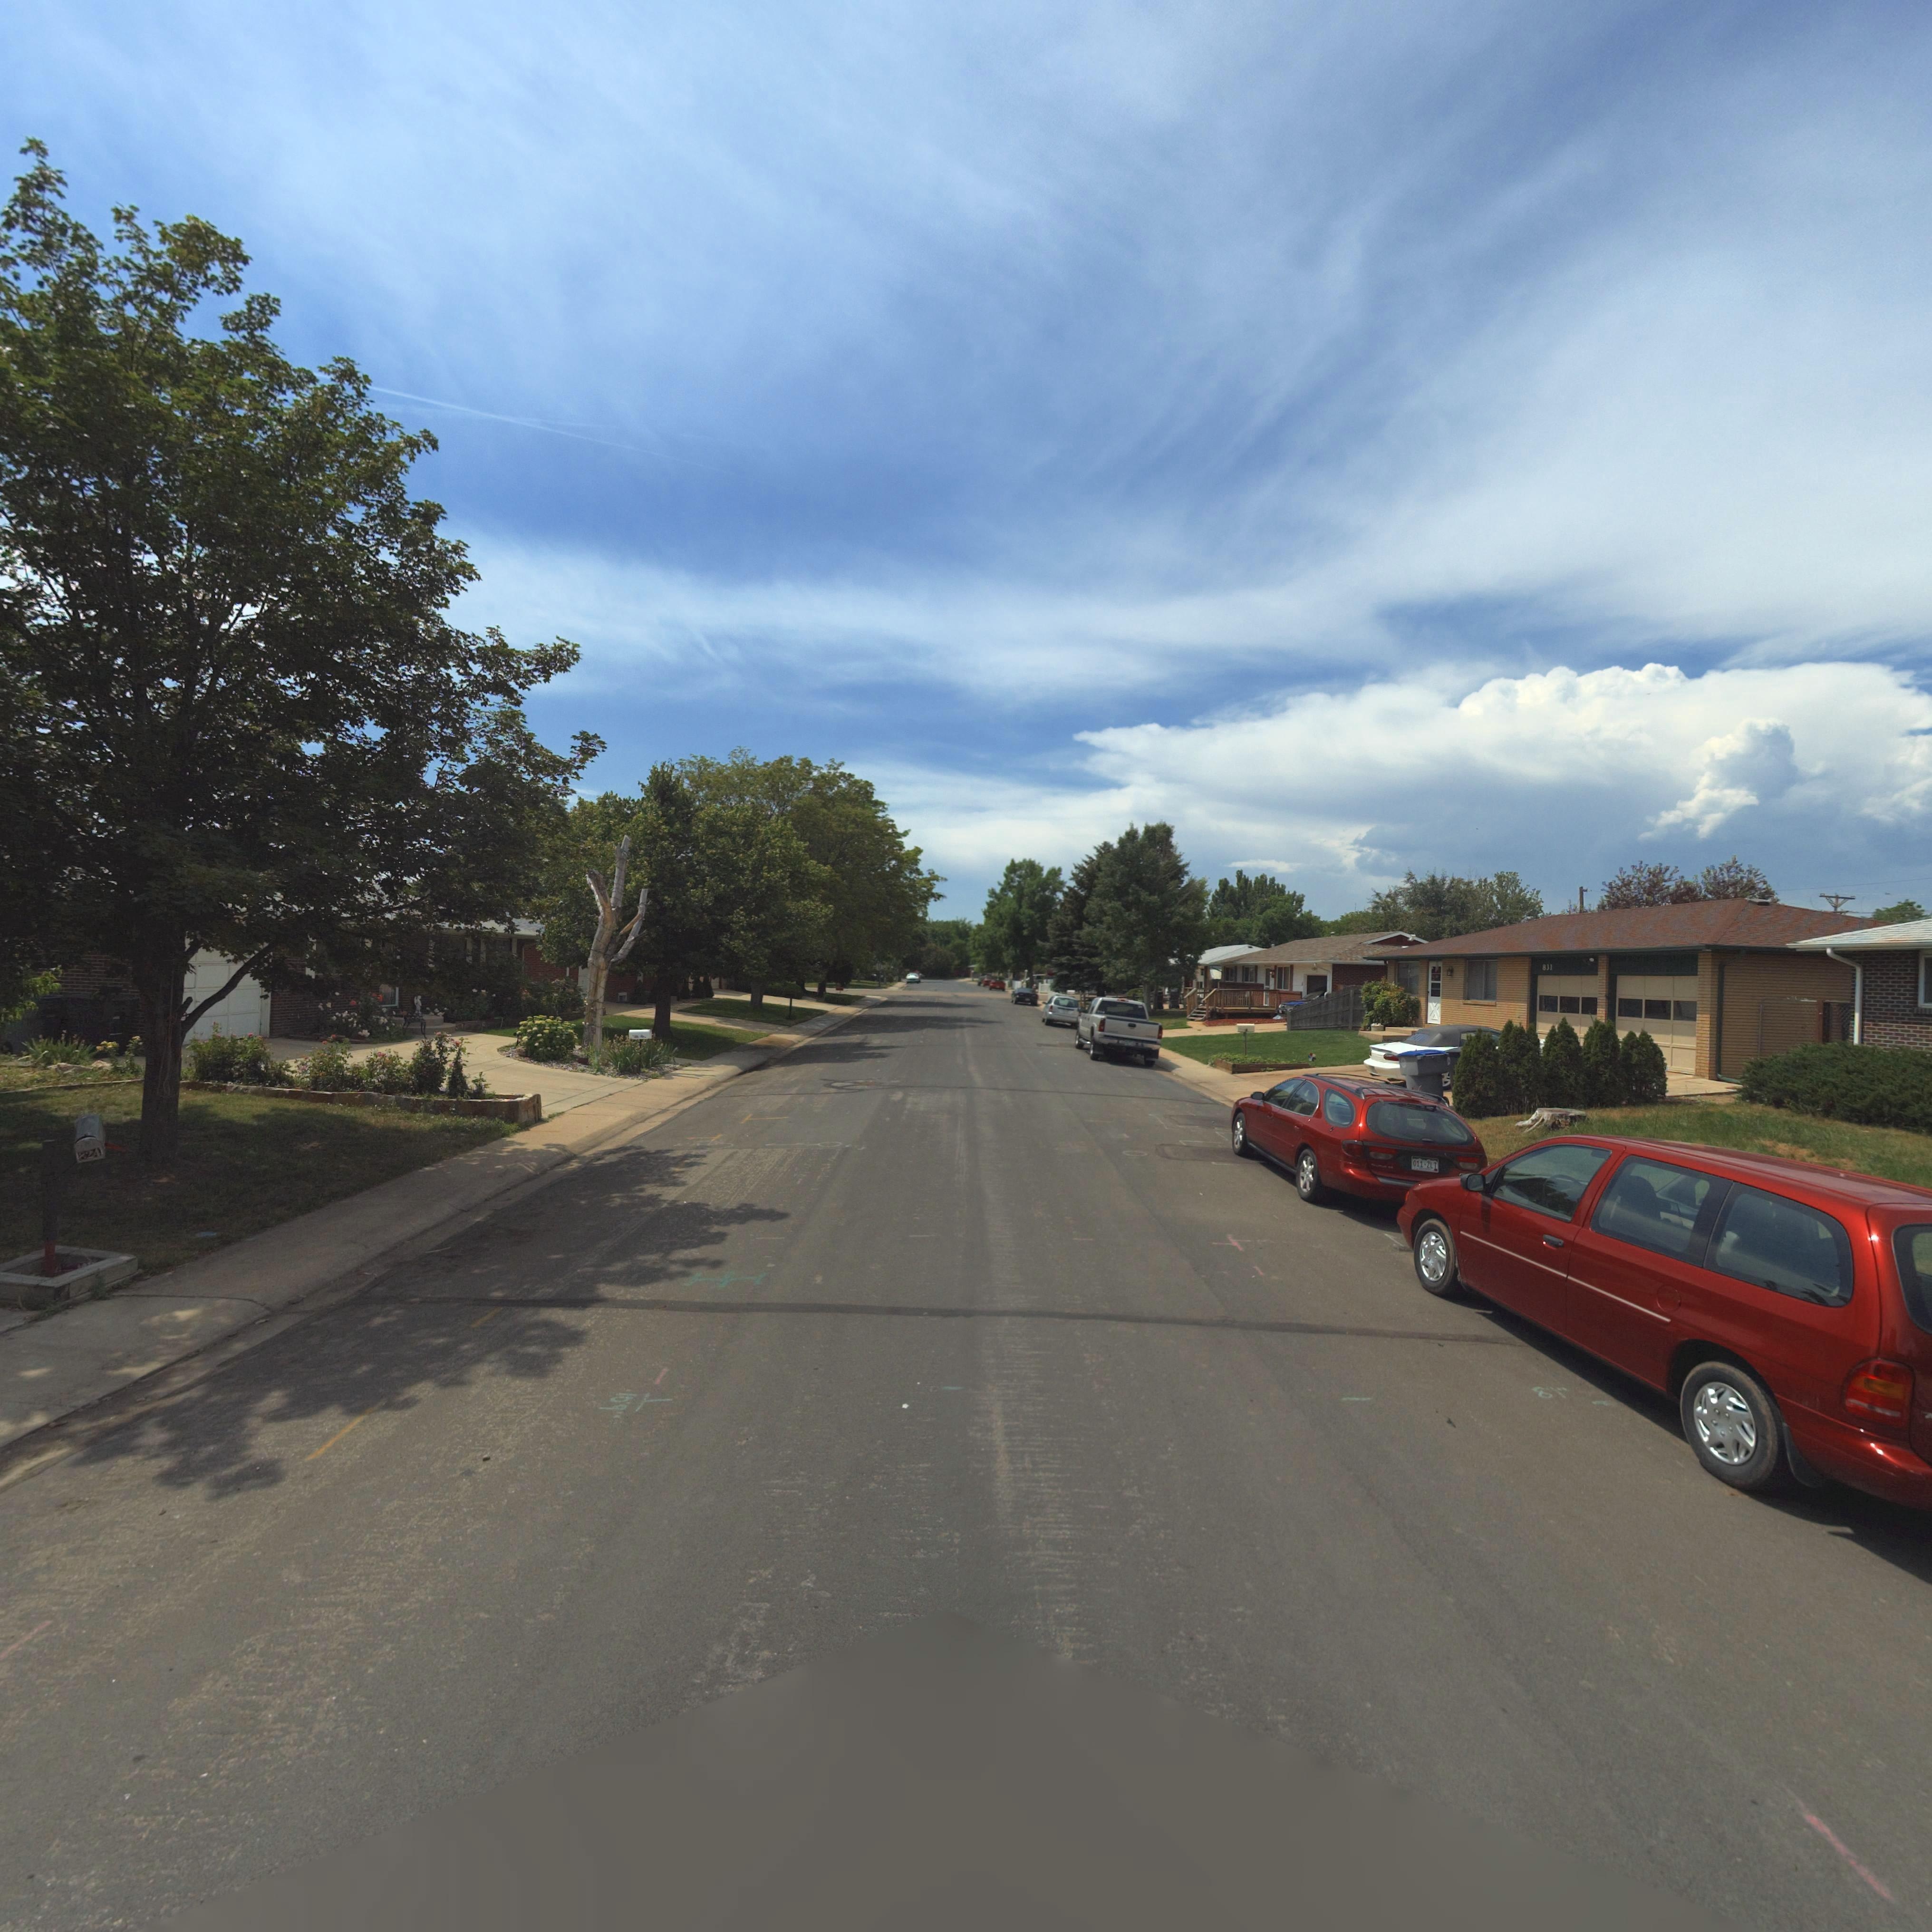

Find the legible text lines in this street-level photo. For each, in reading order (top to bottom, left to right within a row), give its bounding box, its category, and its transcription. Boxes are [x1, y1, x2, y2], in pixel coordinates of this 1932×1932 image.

[1542, 964, 1553, 970] StreetNumber: 831
[77, 1147, 101, 1161] StreetNumber: 824